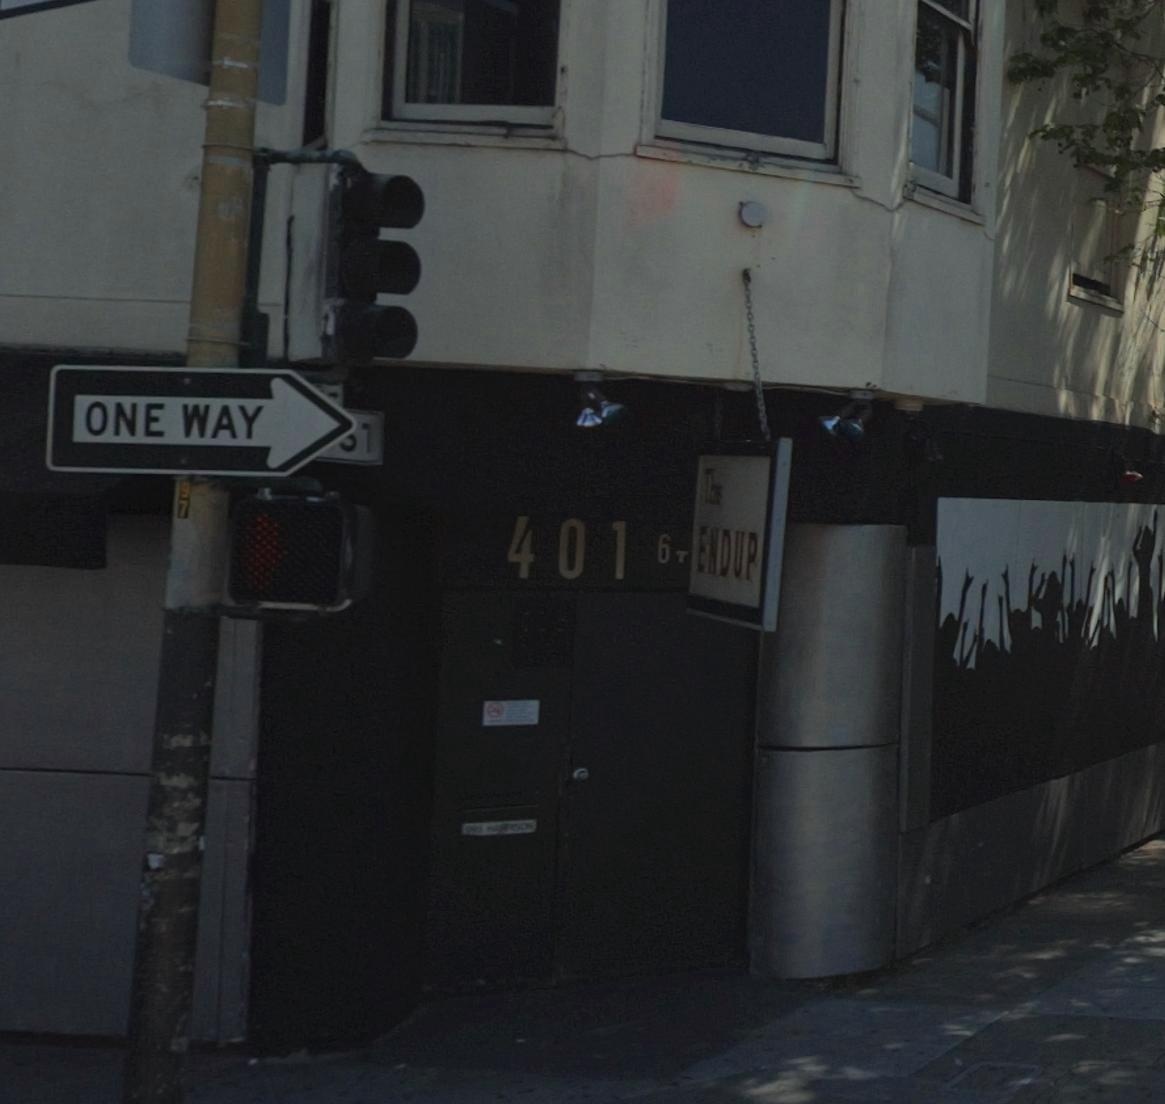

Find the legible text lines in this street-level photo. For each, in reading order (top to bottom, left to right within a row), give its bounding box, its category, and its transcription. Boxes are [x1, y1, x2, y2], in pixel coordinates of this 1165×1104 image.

[82, 400, 268, 443] None: ONE WAY
[176, 480, 193, 518] None: 97
[506, 512, 629, 580] StreetNumber: 401
[656, 531, 691, 566] None: 6T
[694, 524, 760, 585] BusinessName: ENDUP